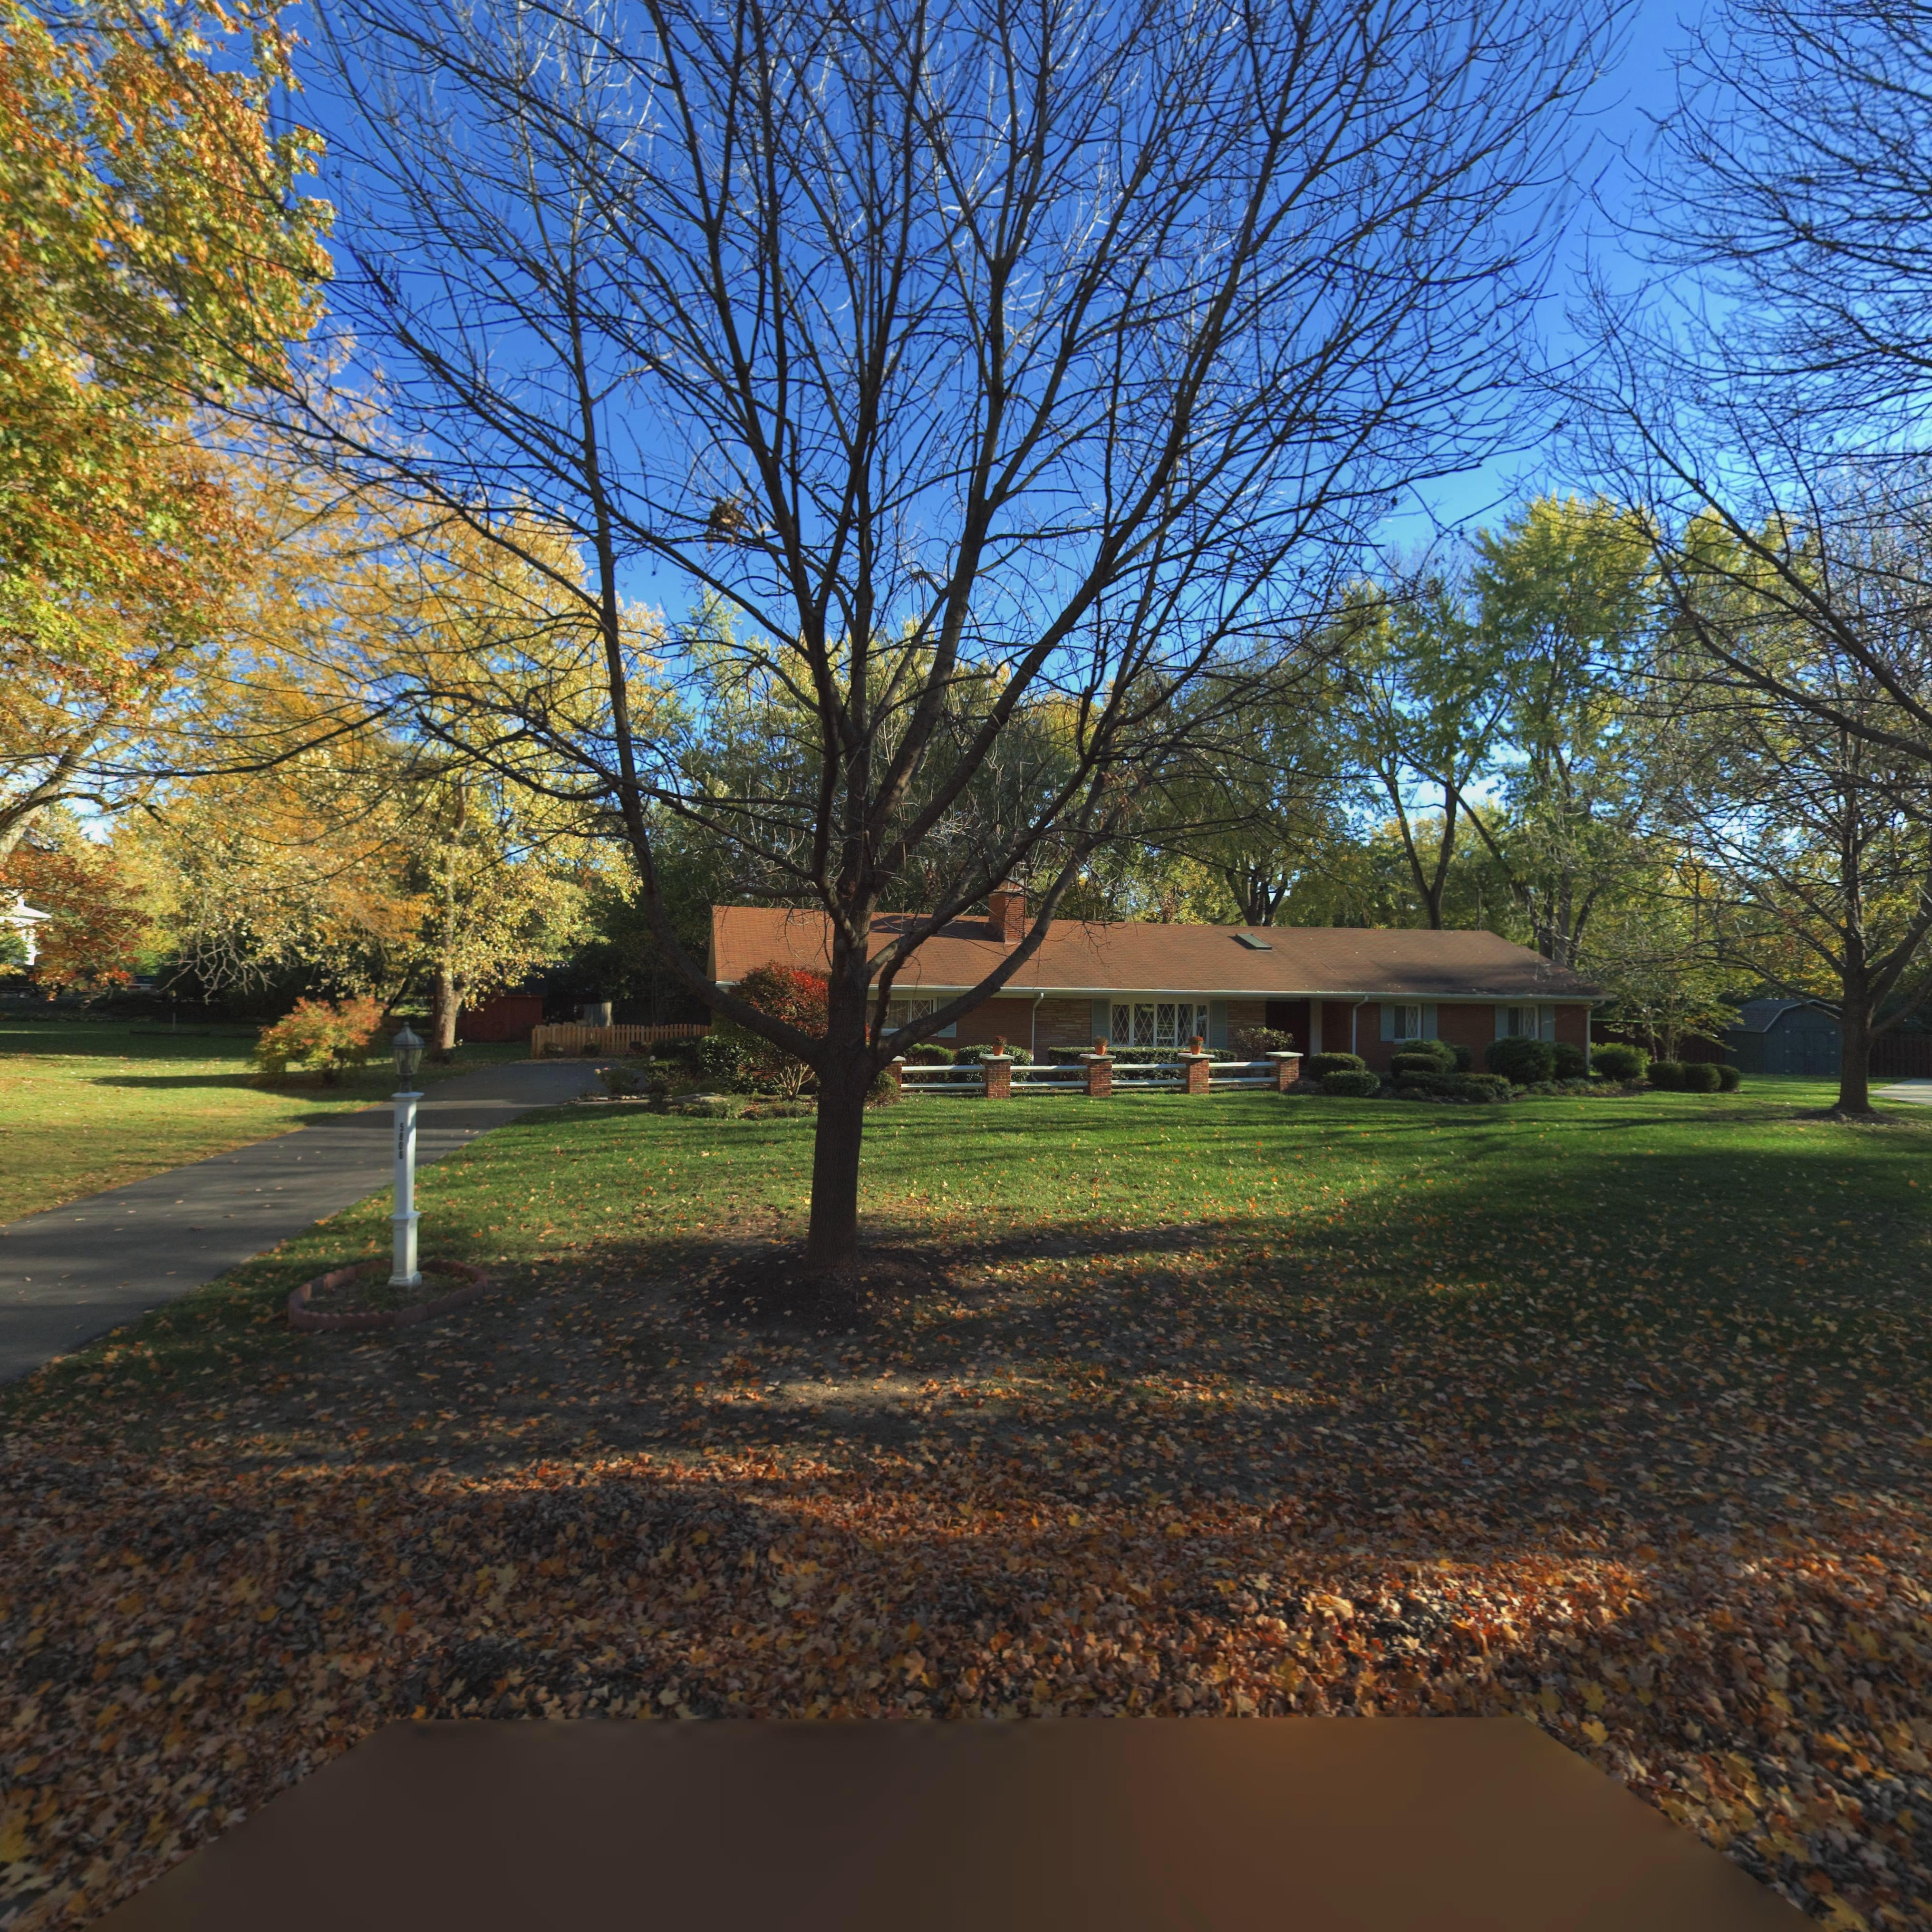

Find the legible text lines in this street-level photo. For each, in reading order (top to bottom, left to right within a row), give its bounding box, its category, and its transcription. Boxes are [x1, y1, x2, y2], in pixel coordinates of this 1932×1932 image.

[398, 1121, 404, 1159] StreetNumber: 5806